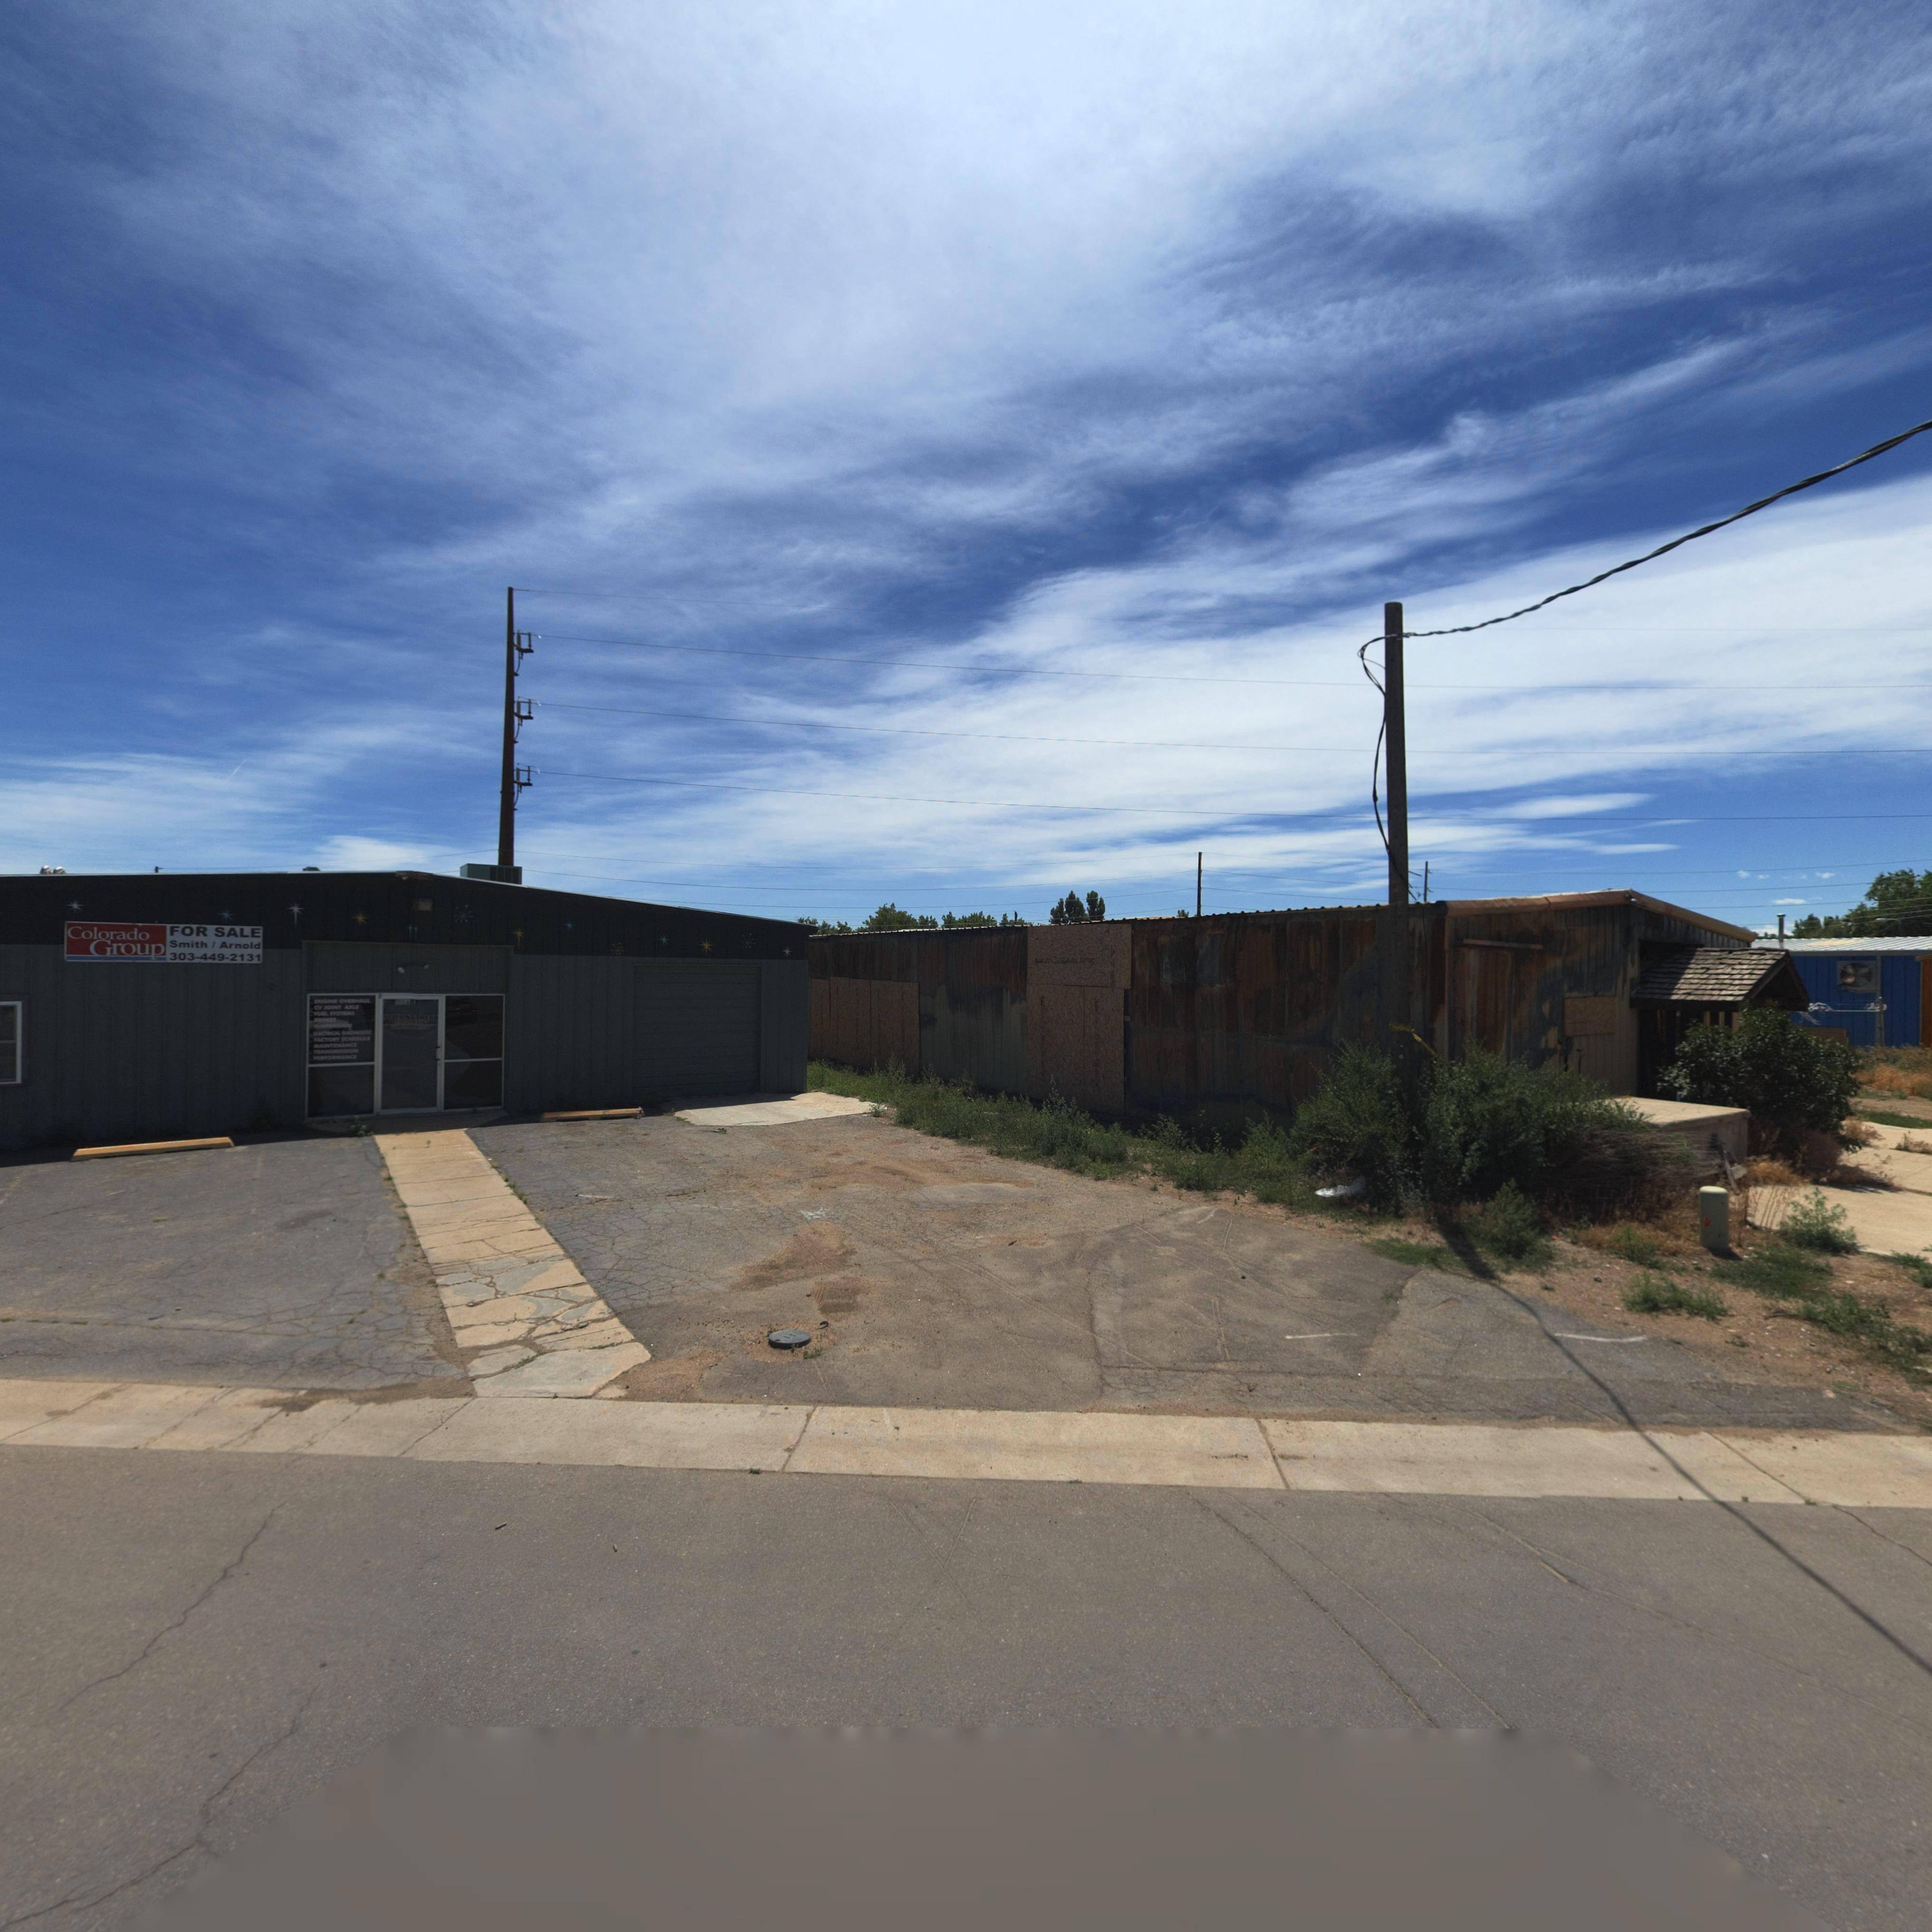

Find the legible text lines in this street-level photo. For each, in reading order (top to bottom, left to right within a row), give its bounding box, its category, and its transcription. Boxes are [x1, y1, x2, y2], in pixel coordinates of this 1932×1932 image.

[394, 999, 410, 1005] StreetNumber: 100*
[383, 1013, 438, 1021] BusinessName: MAIN STREET